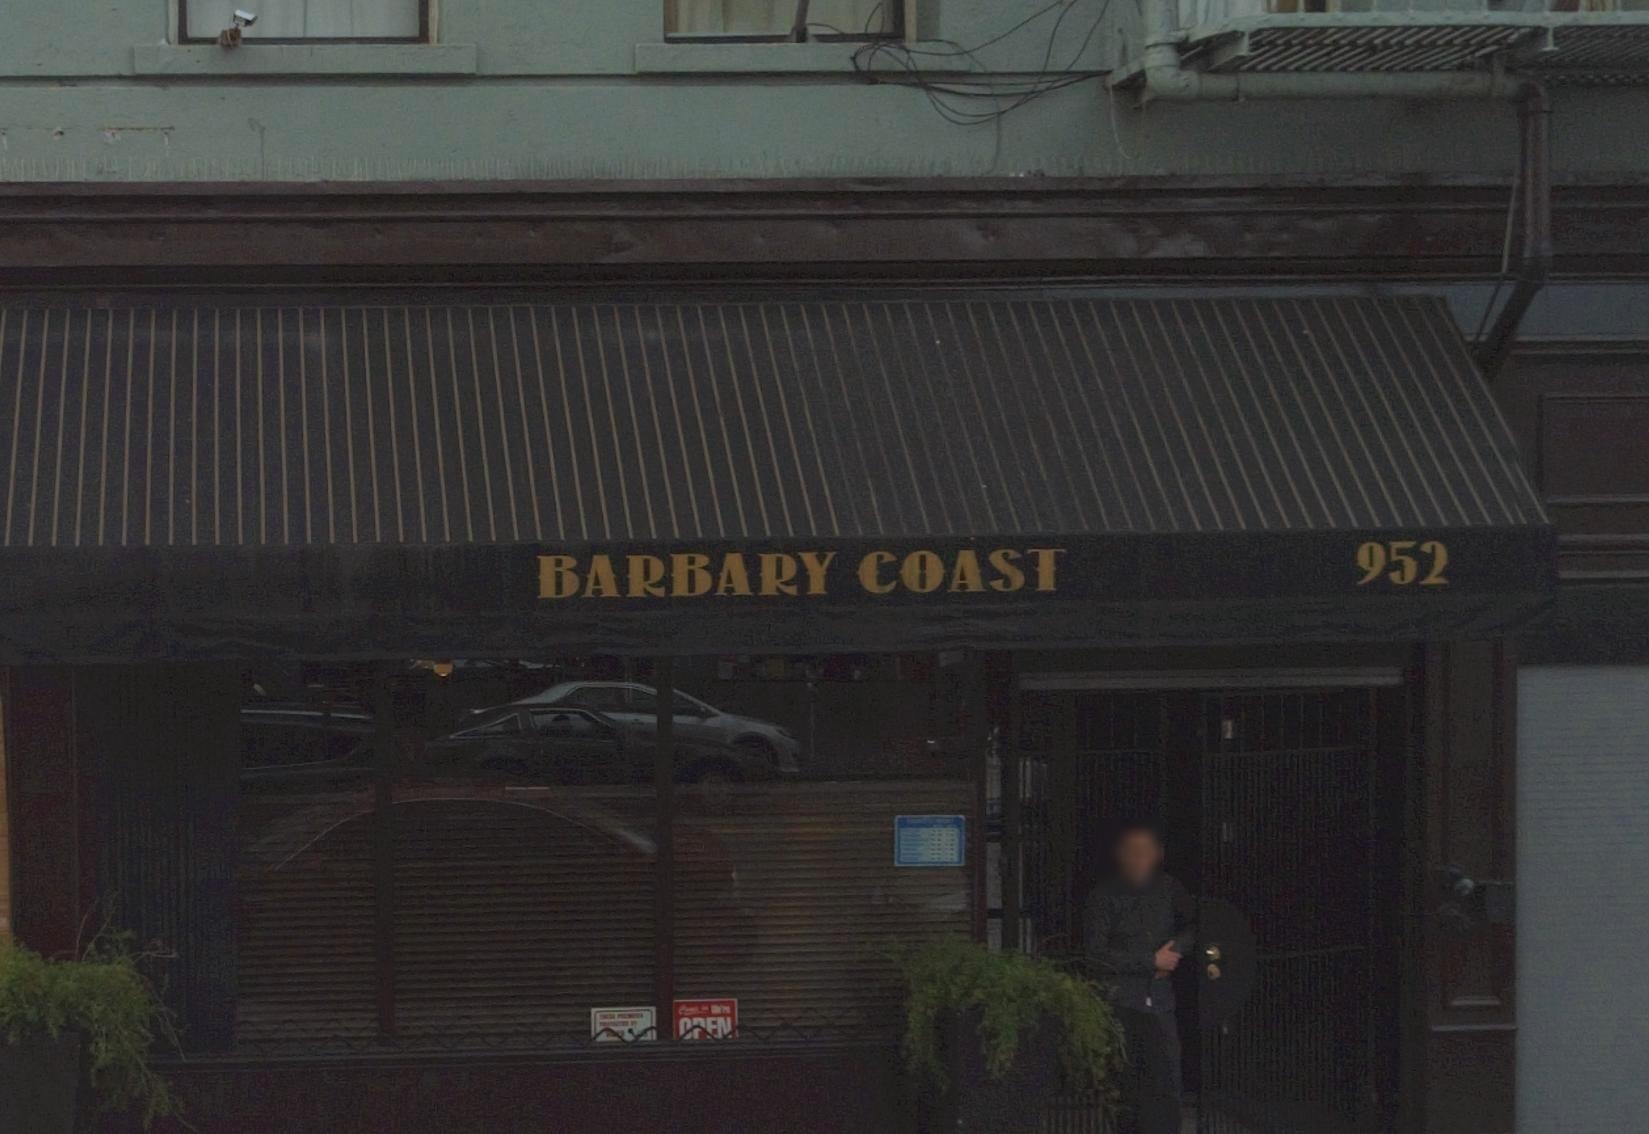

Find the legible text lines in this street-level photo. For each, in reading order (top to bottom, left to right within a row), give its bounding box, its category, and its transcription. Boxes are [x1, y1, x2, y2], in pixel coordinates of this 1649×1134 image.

[531, 543, 1073, 604] BusinessName: BARBARY COAST
[1350, 537, 1454, 590] StreetNumber: 952